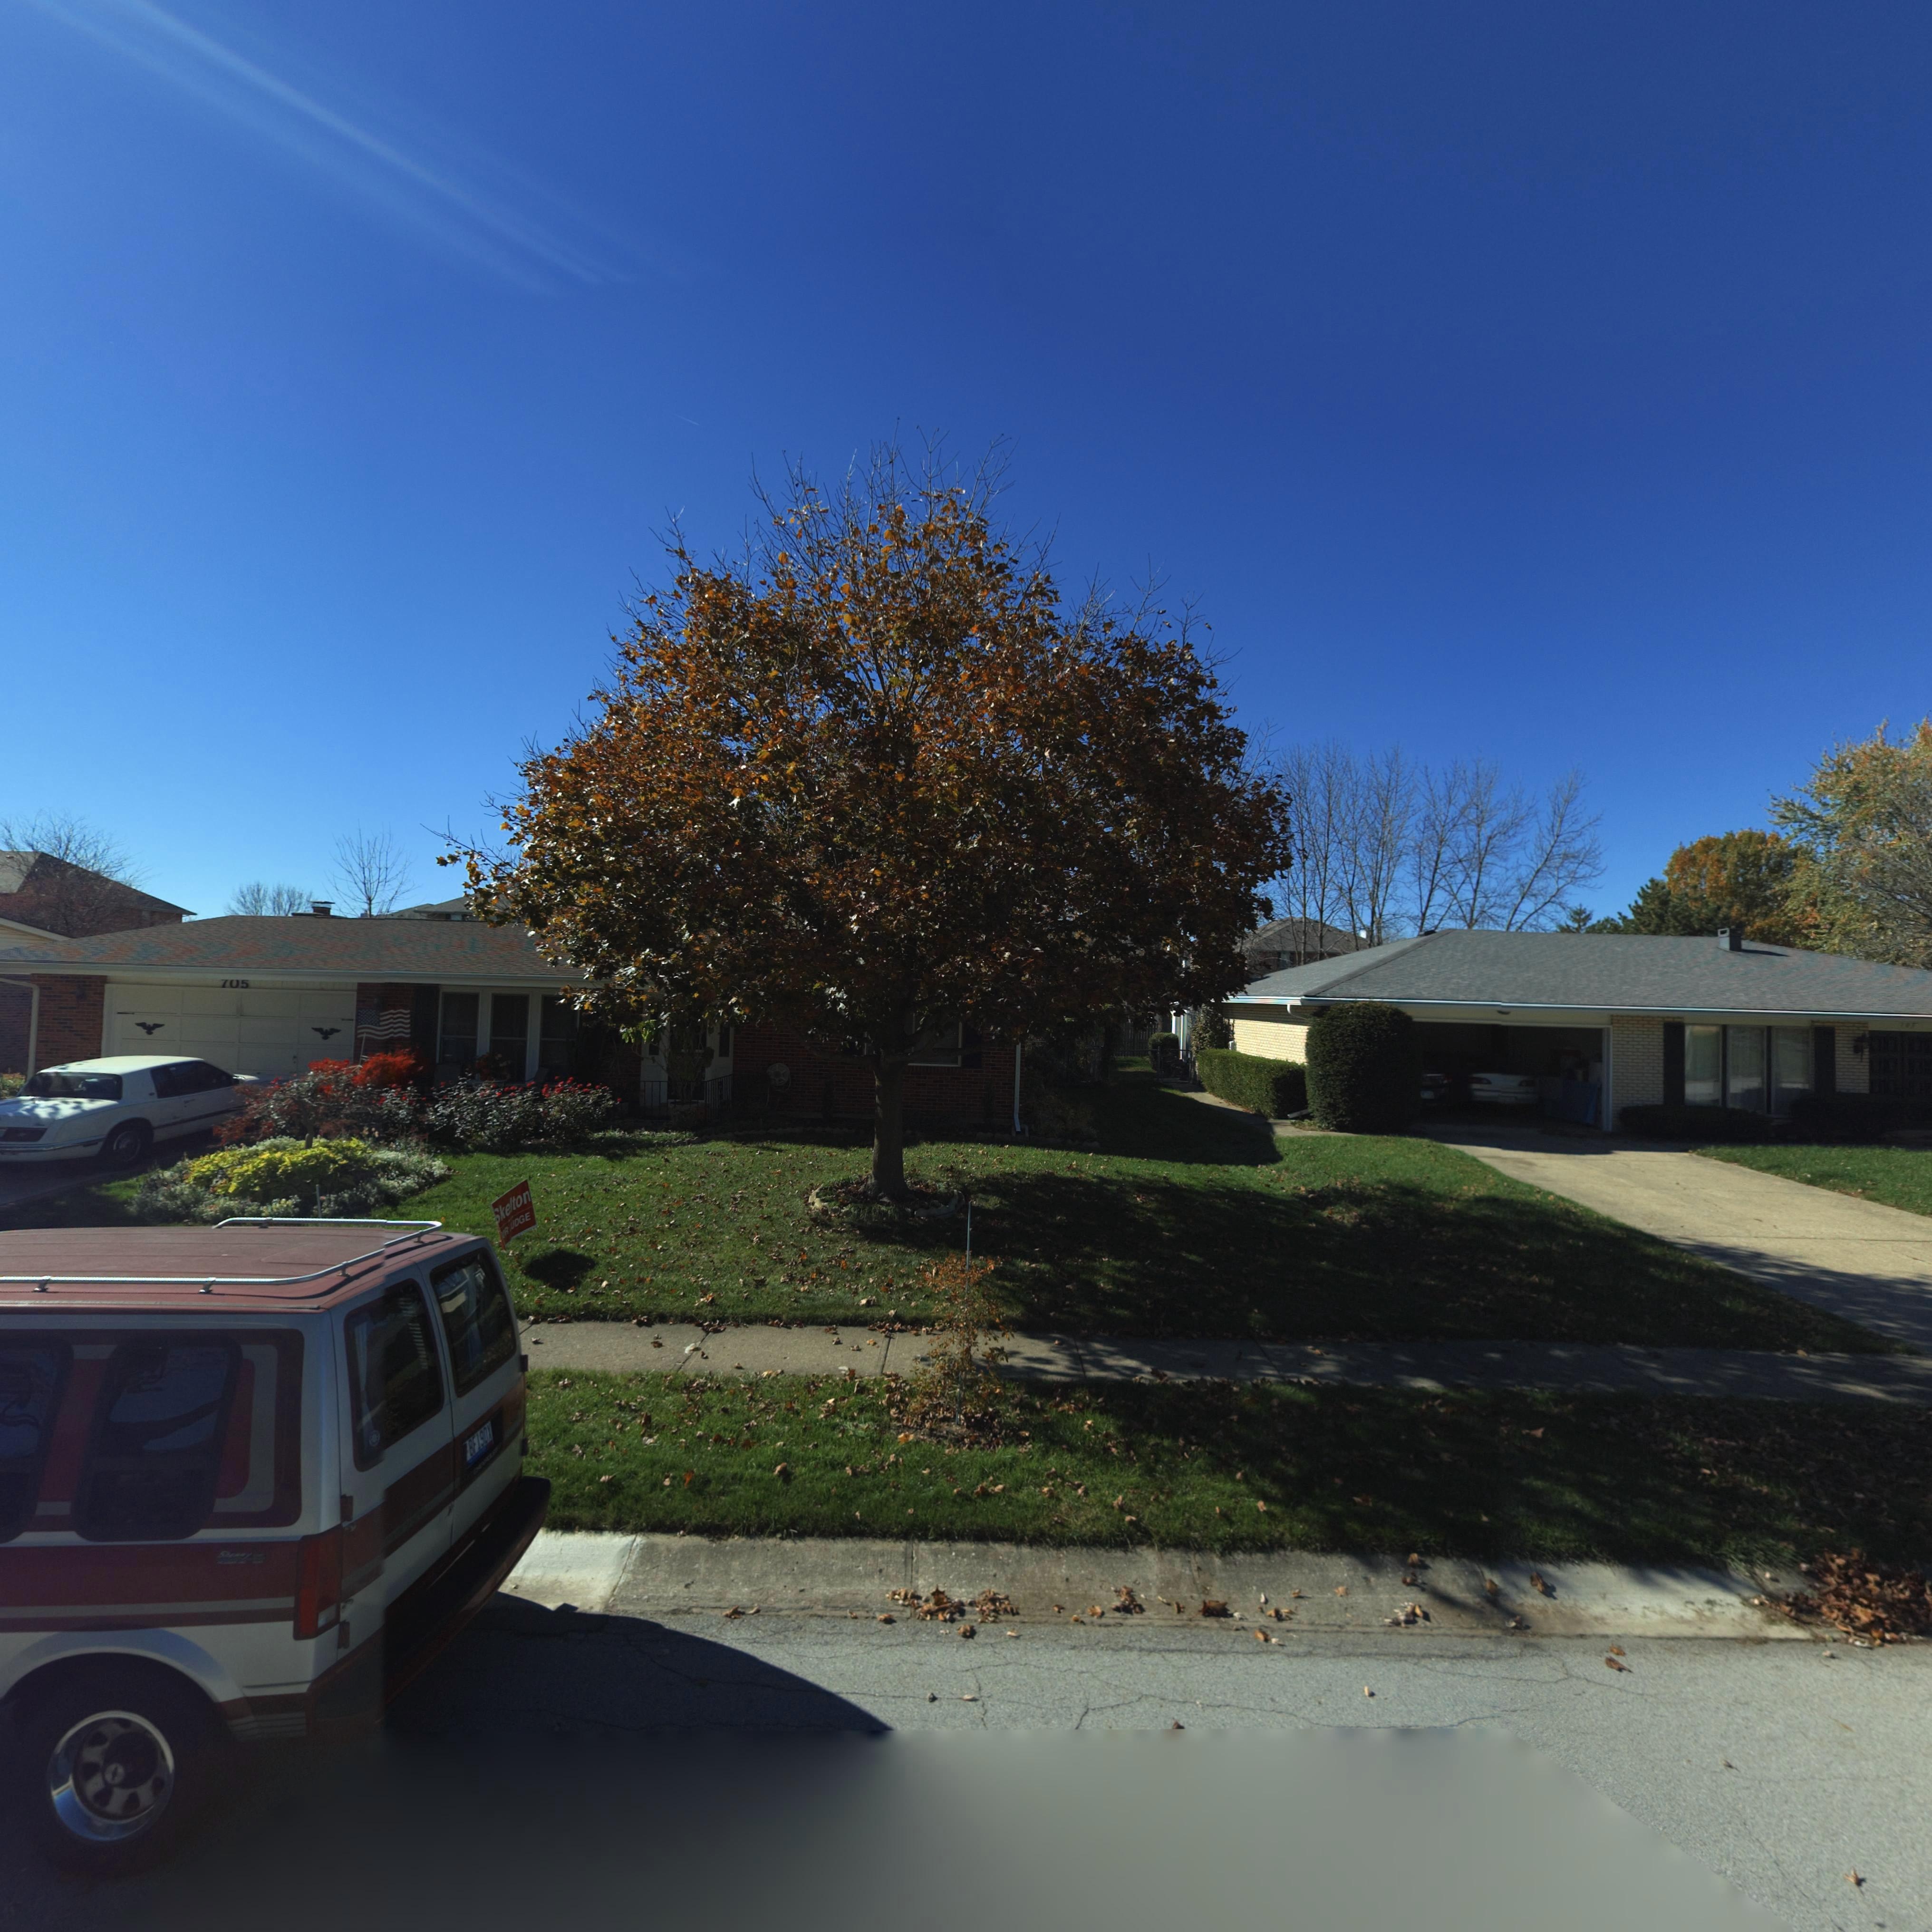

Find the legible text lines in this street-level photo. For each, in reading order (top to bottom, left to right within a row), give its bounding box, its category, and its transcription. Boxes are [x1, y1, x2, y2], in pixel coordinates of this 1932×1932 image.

[221, 979, 251, 989] StreetNumber: 7*5
[1899, 1022, 1916, 1028] StreetNumber: 703